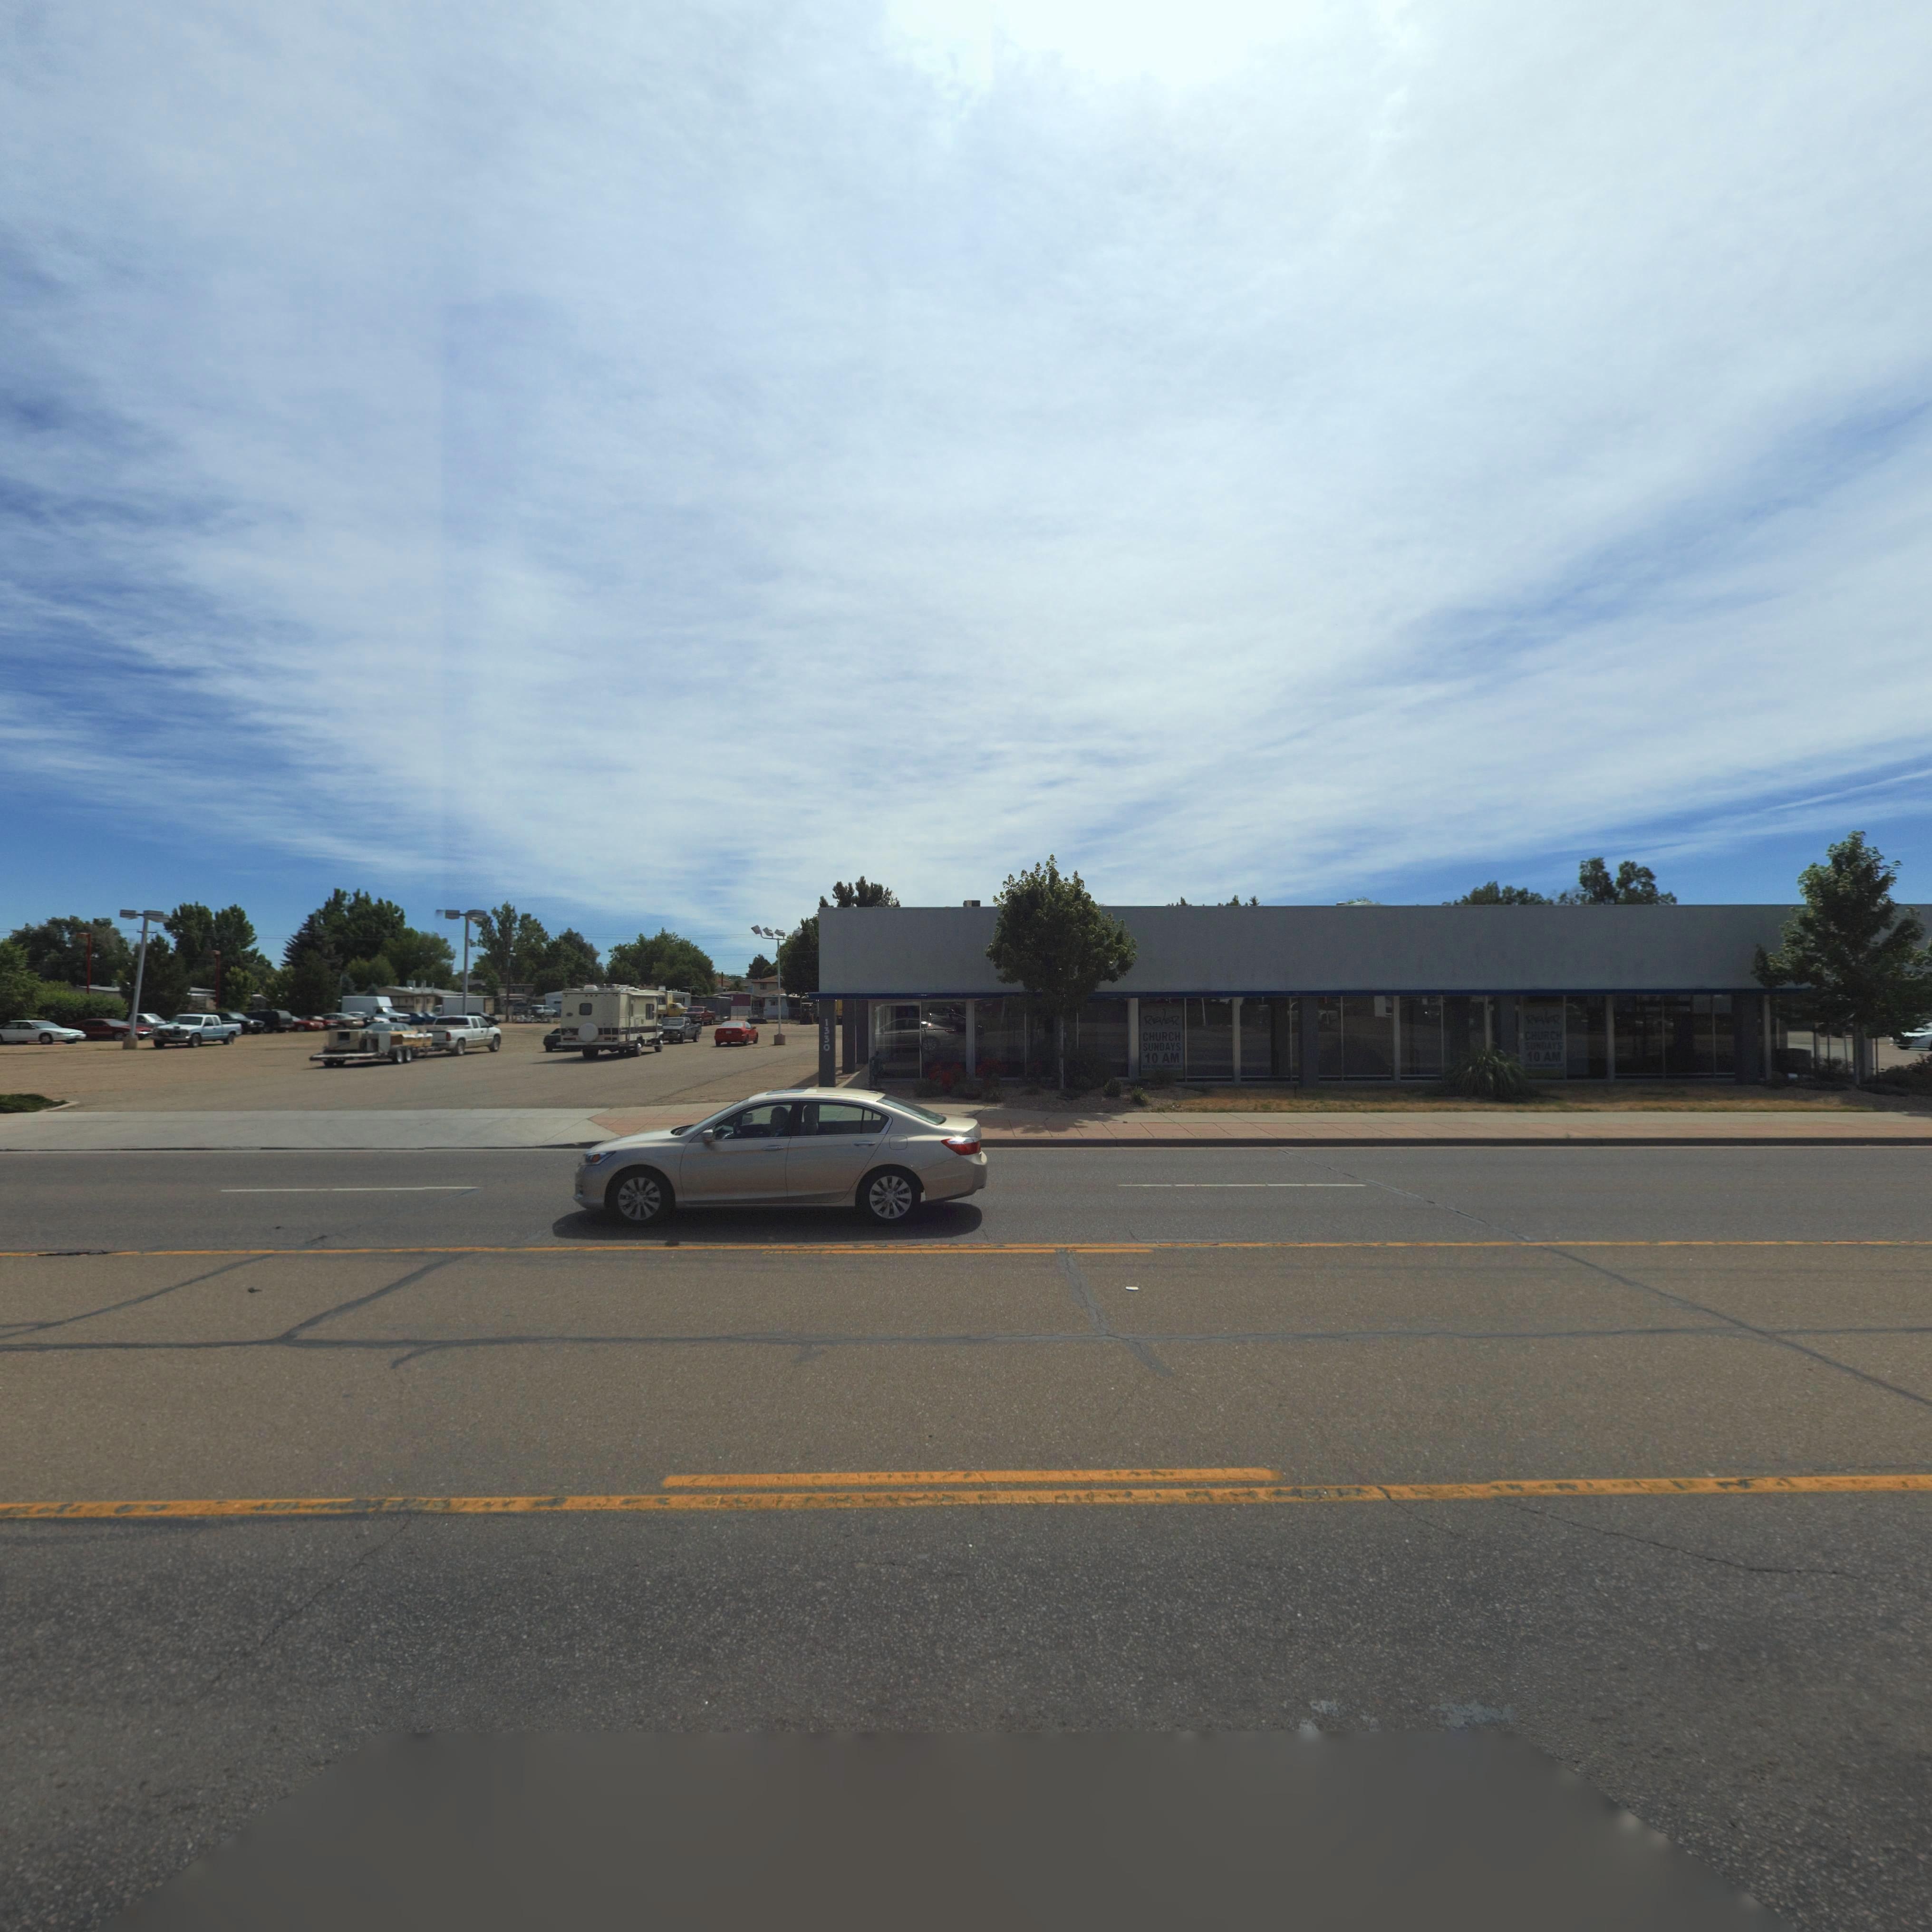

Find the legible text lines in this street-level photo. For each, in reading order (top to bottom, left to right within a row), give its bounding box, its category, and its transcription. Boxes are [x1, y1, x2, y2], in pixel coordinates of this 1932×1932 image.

[822, 1018, 831, 1051] StreetNumber: 1330